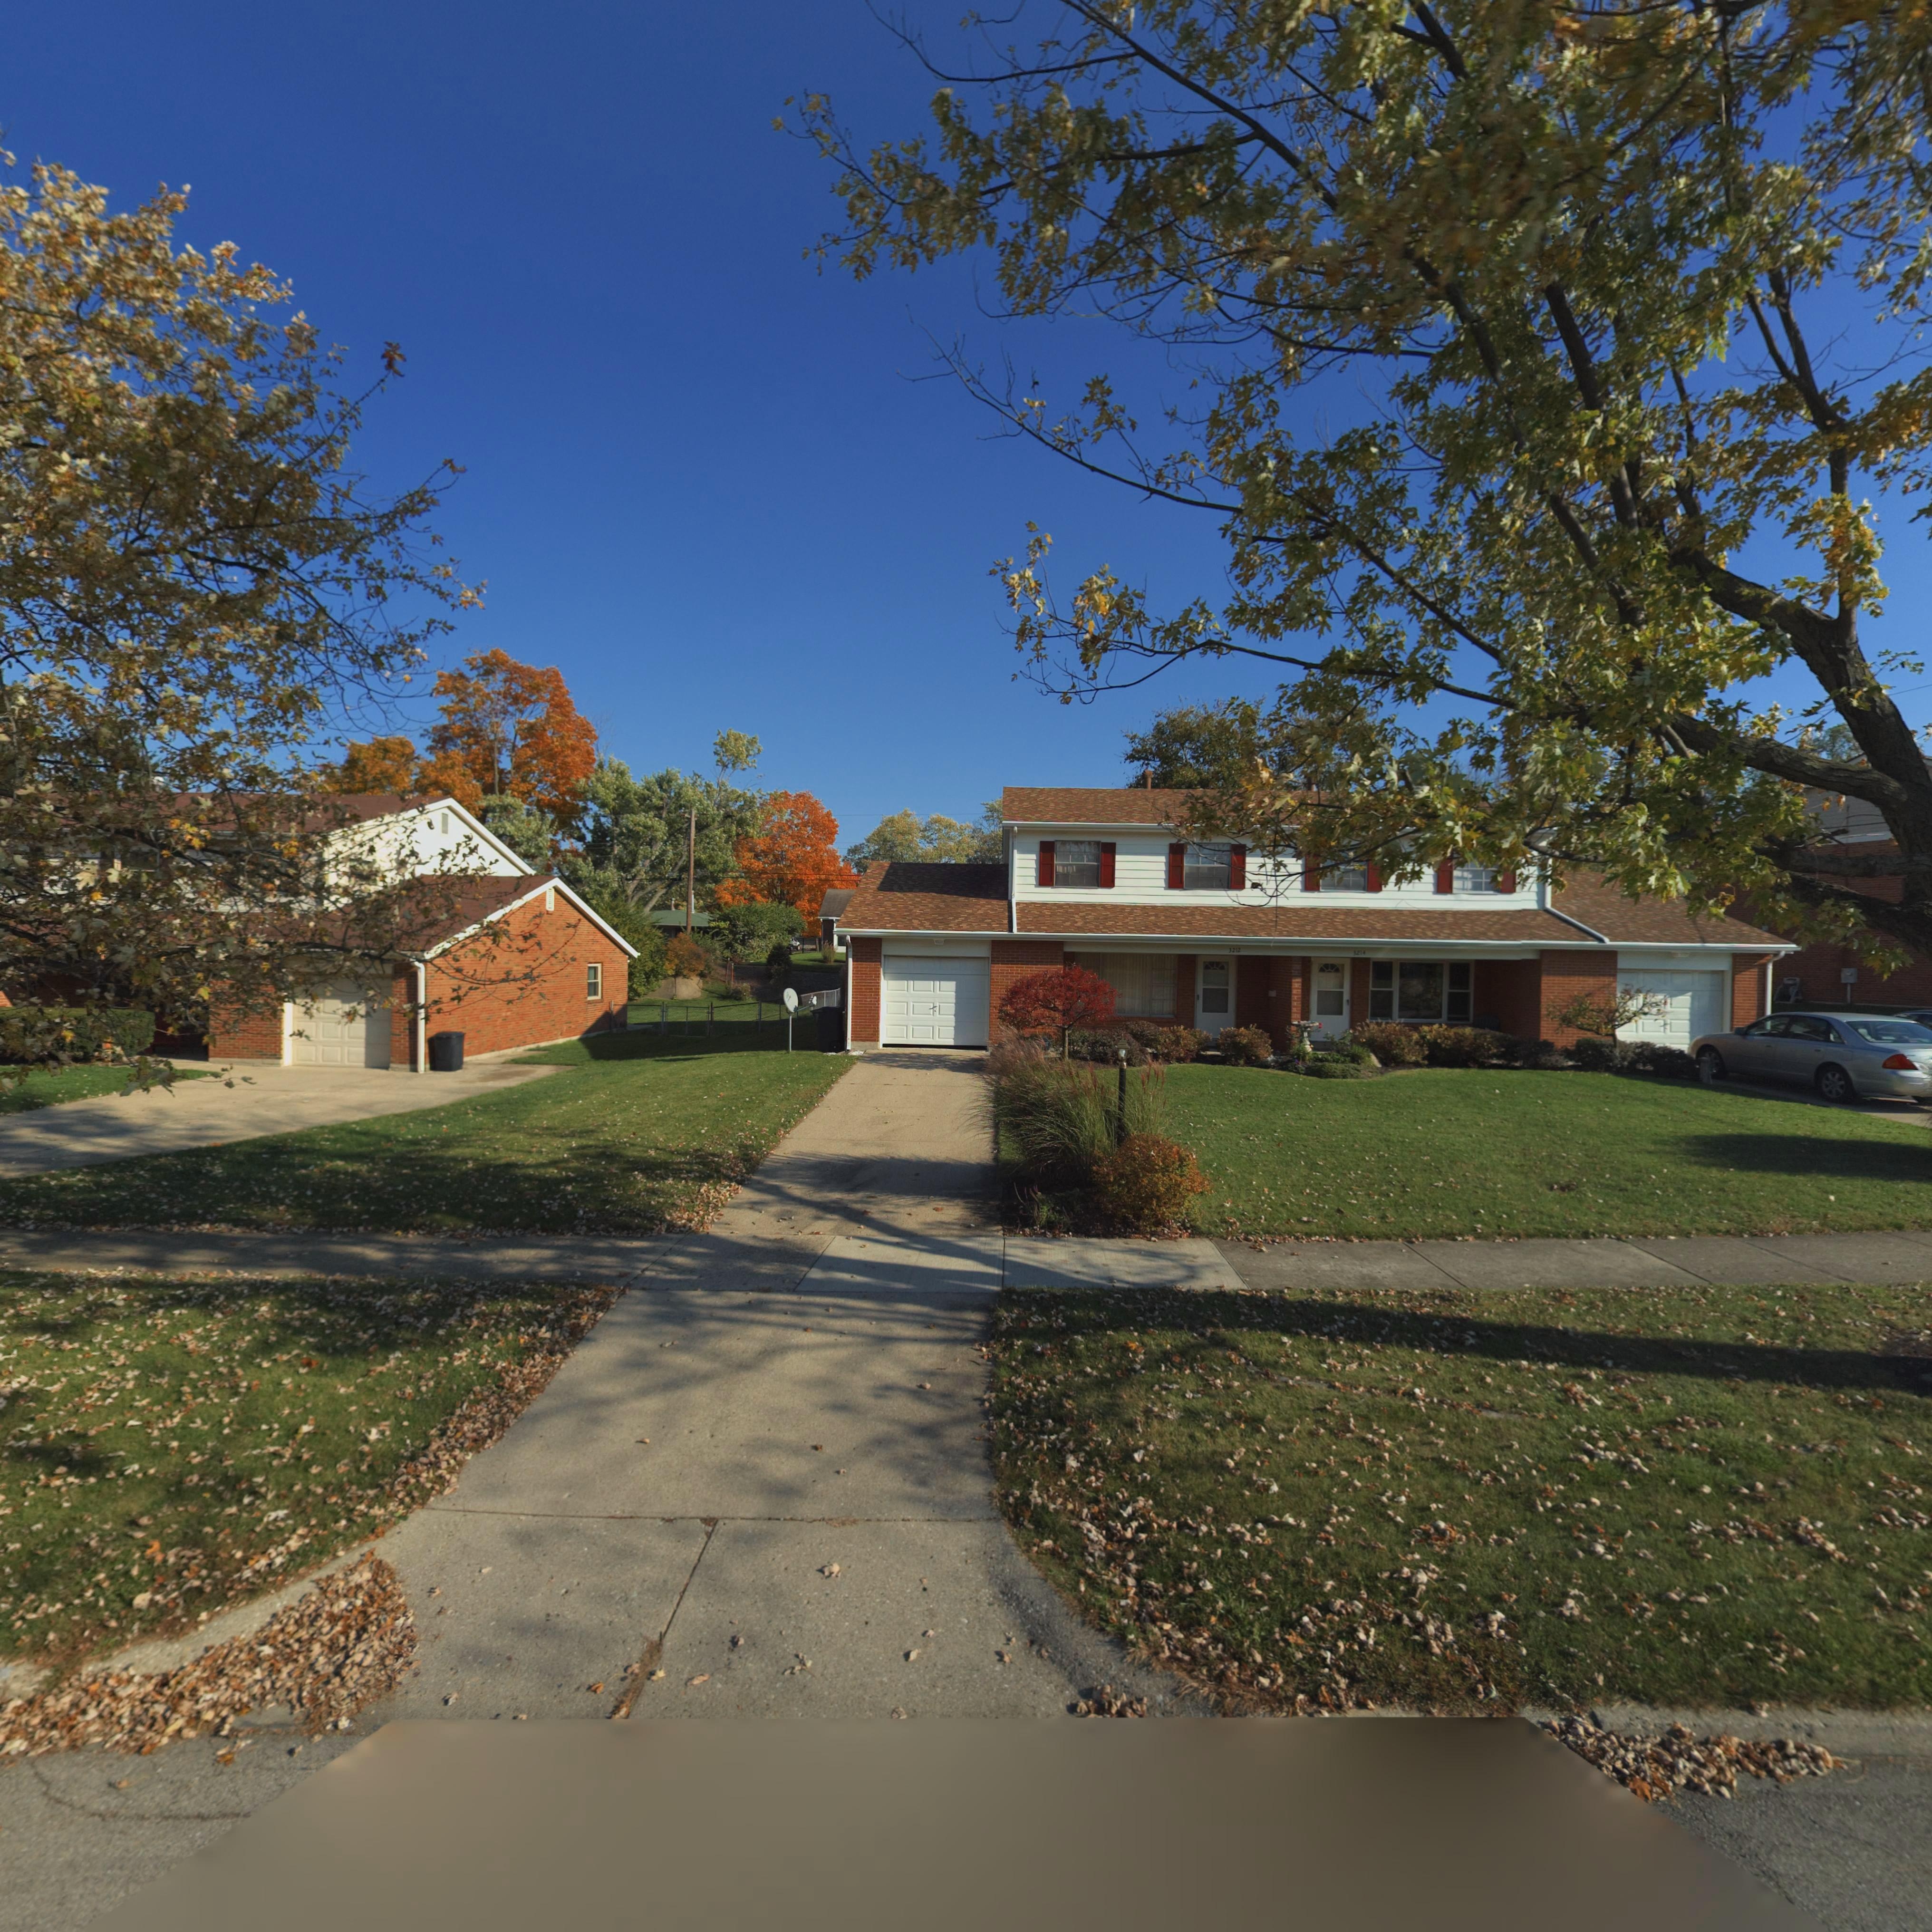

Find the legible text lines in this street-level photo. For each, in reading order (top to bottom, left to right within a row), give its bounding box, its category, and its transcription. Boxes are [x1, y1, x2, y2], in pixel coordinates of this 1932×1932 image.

[1227, 947, 1240, 953] StreetNumber: 3212
[1352, 949, 1365, 956] StreetNumber: 3214